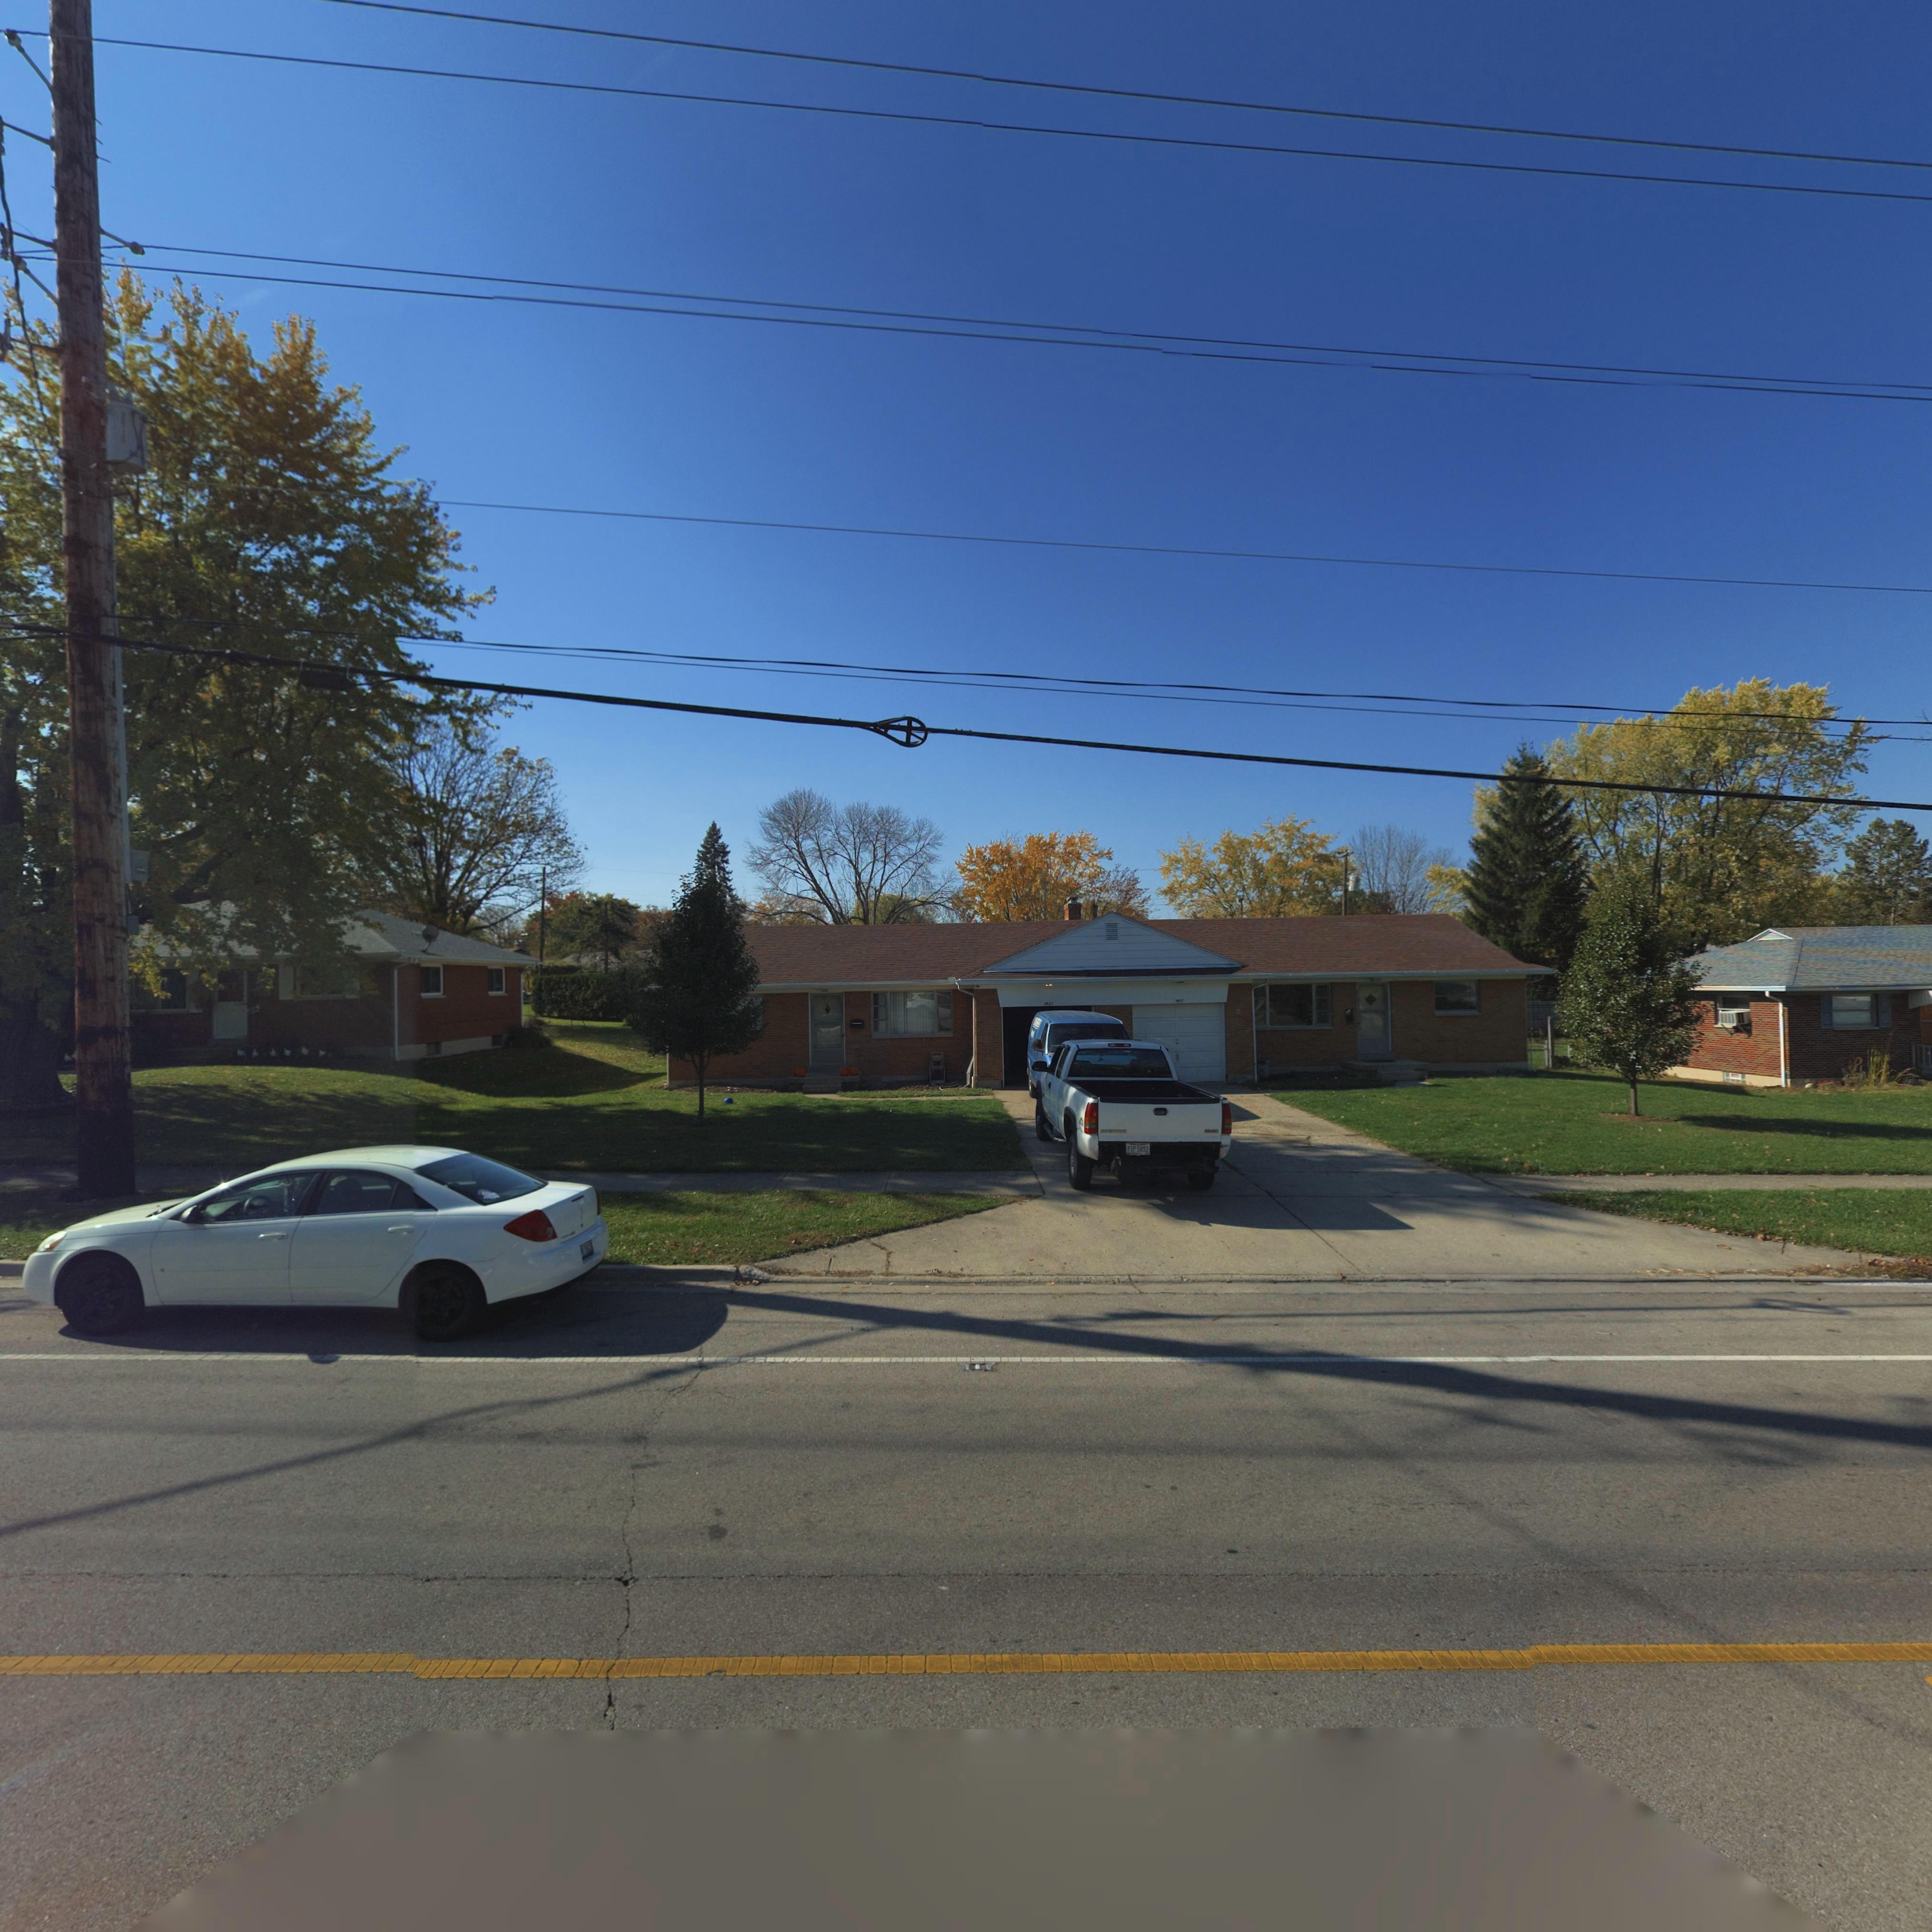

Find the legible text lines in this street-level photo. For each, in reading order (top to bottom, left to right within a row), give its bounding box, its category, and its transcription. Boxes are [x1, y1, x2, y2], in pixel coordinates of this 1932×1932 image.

[1175, 998, 1184, 1003] StreetNumber: 3817
[1043, 1002, 1053, 1006] StreetNumber: 3821
[1100, 1129, 1128, 1134] None: SIERRA
[1204, 1128, 1219, 1133] None: GMC
[1127, 1145, 1149, 1152] None: PIP 5893